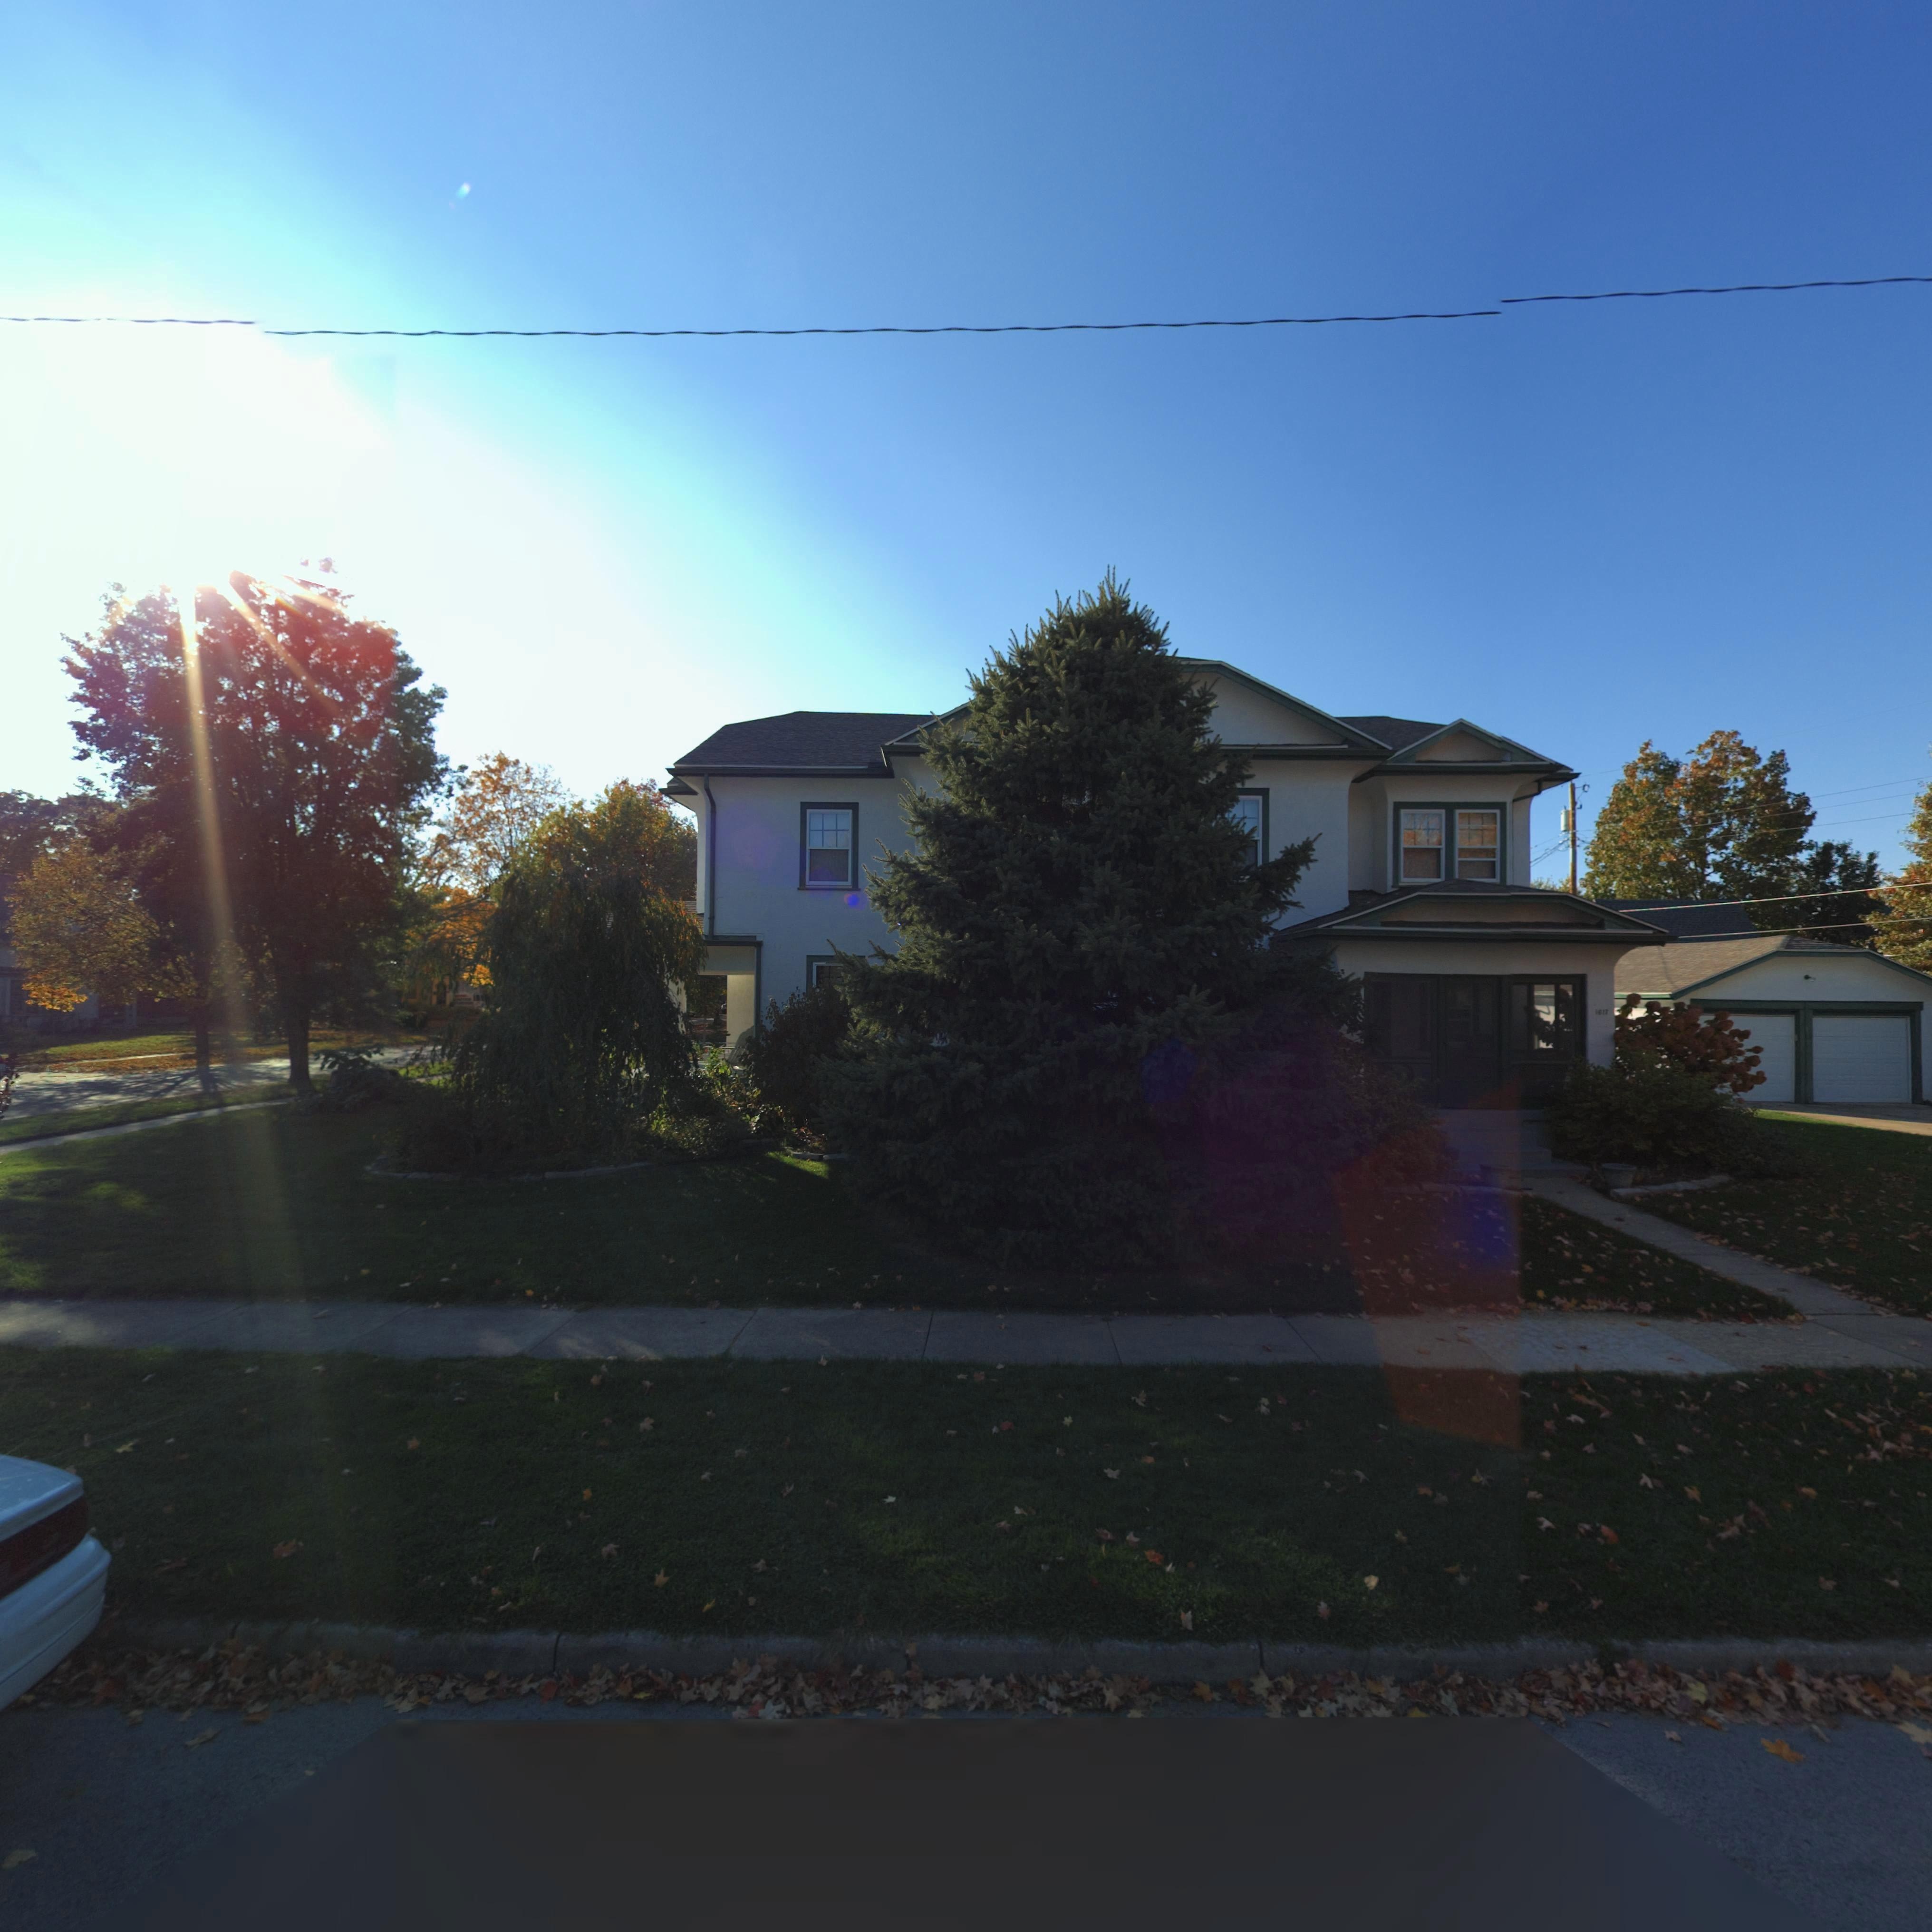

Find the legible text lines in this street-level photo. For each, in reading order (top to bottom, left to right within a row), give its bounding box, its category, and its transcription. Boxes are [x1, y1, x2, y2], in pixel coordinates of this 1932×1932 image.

[1594, 1009, 1610, 1016] StreetNumber: 1617